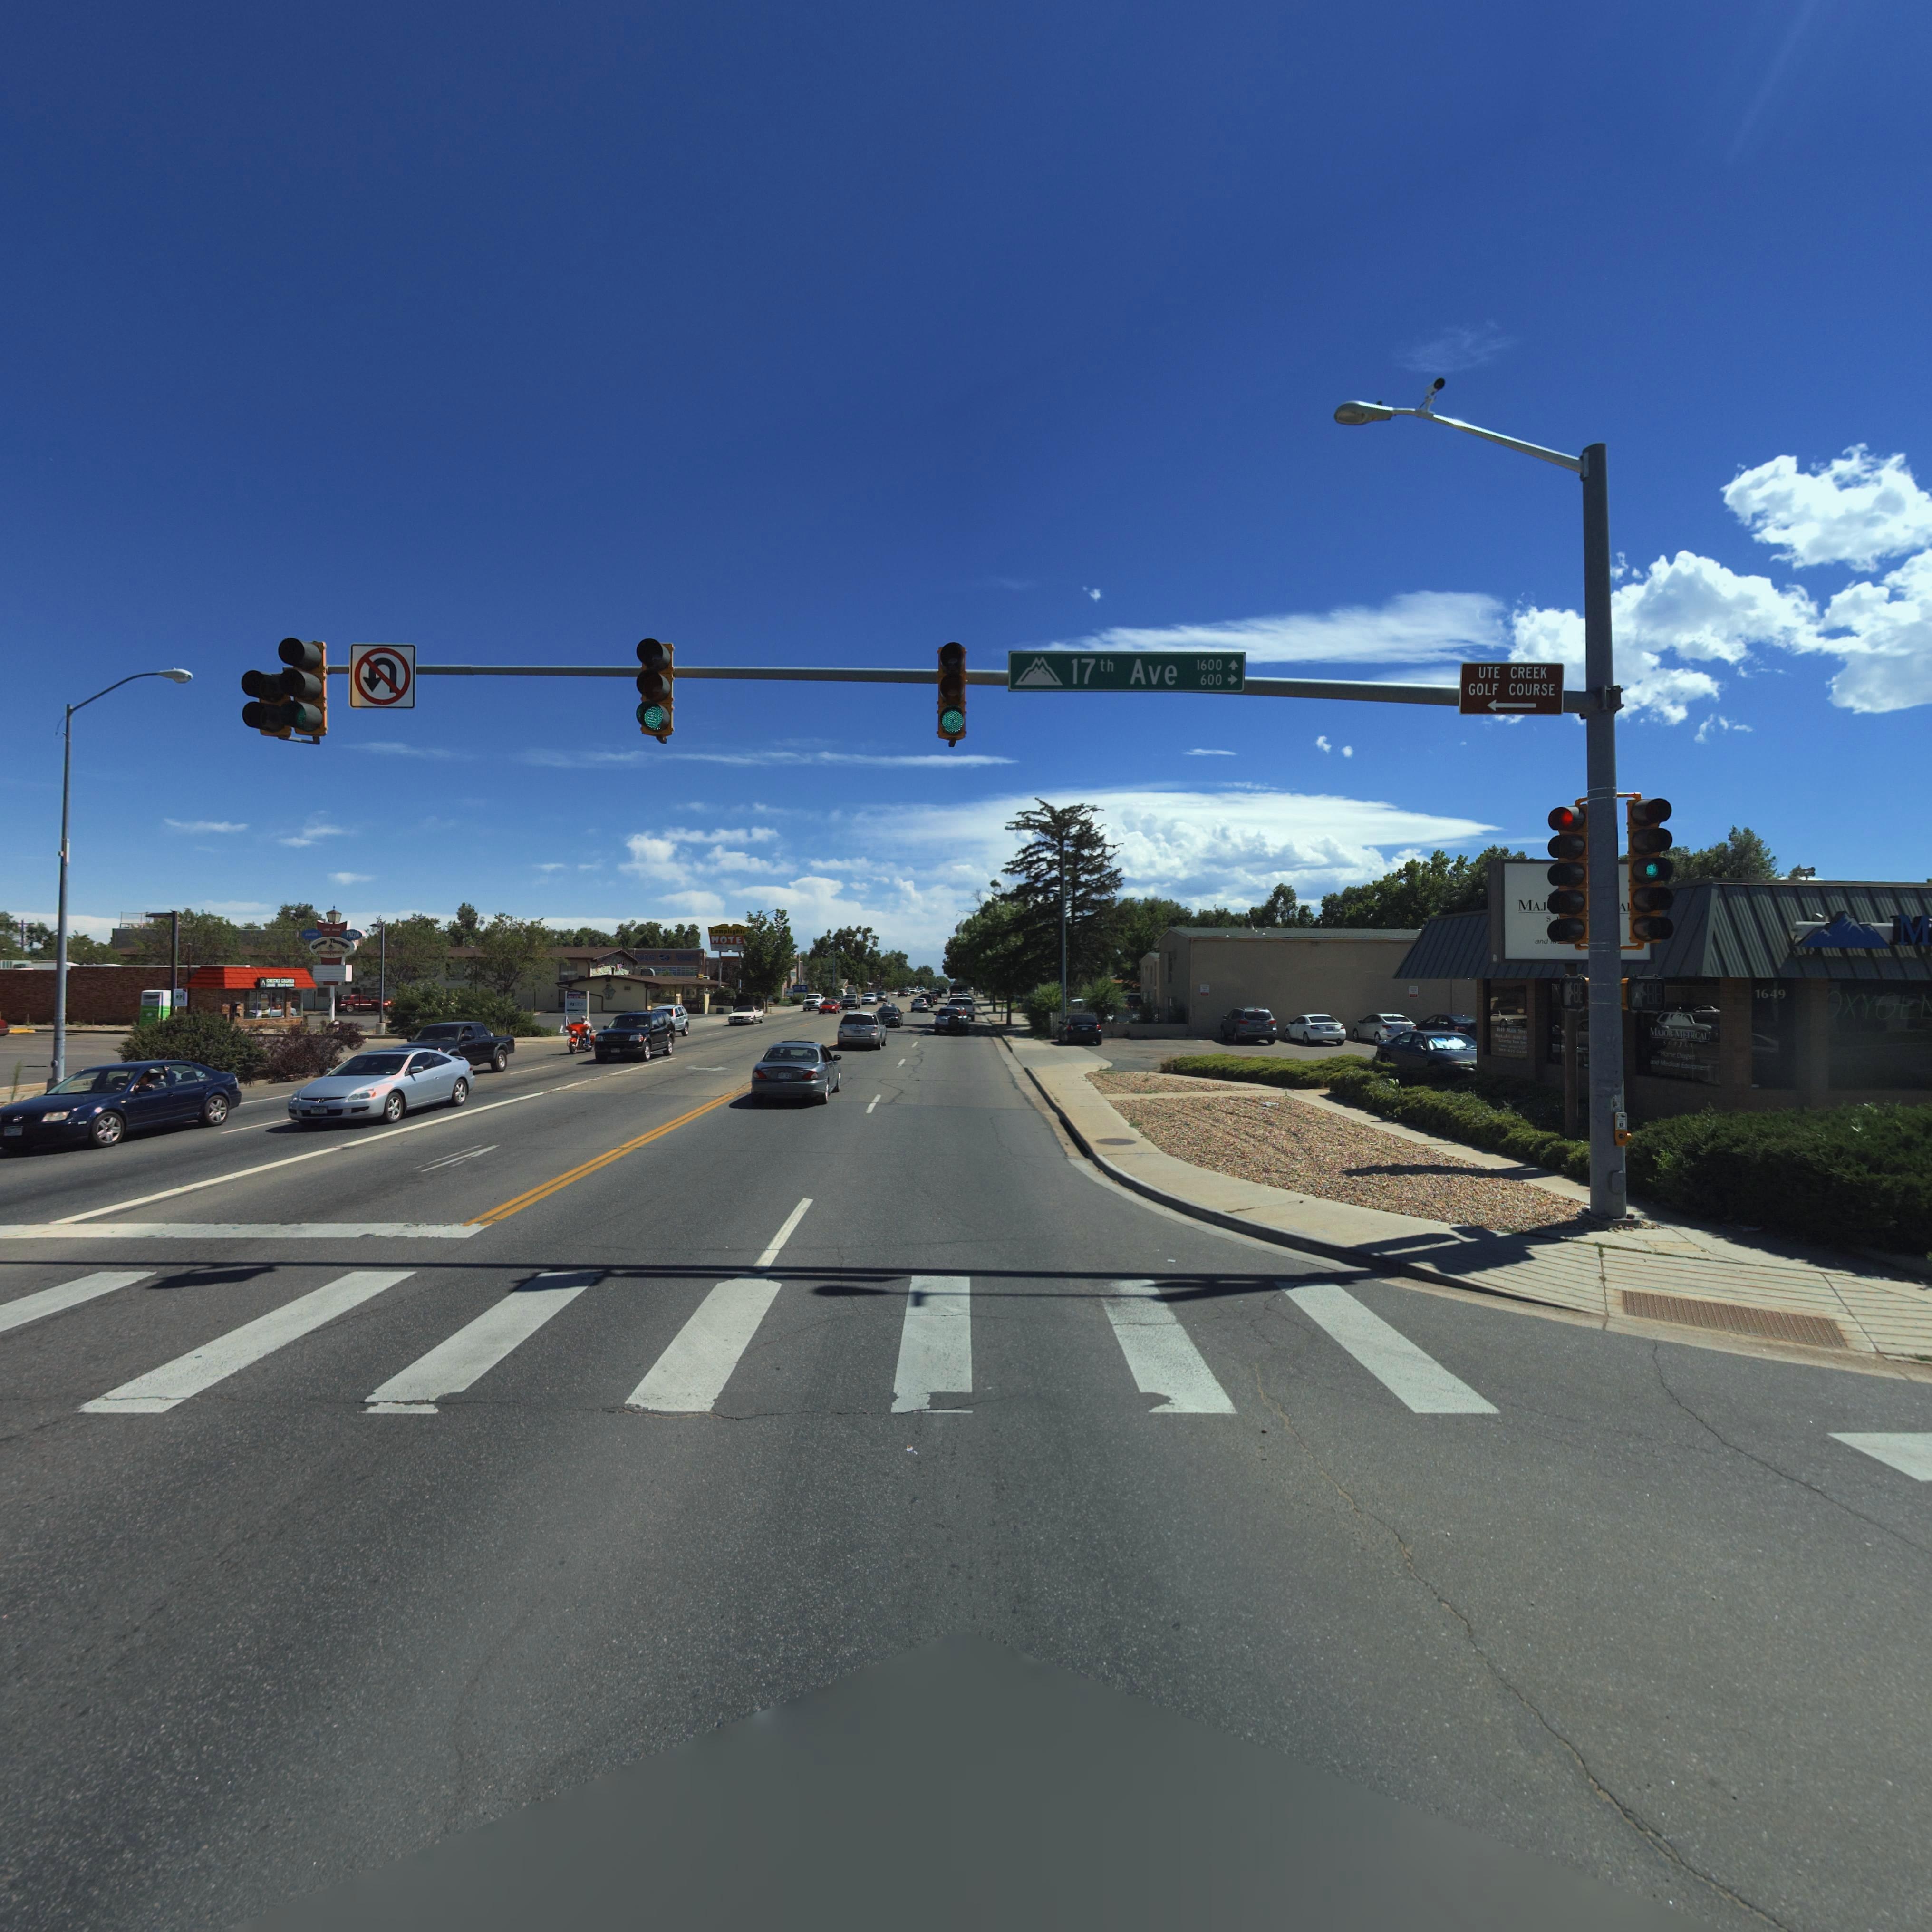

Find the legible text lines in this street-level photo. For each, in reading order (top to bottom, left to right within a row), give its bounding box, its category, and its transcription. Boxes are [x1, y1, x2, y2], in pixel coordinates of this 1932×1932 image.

[1196, 658, 1223, 671] StreetNumberRange: 1600
[1070, 657, 1178, 686] StreetName: 17th Ave
[1199, 673, 1239, 686] StreetNumberRange: 600 ->
[1517, 899, 1546, 911] BusinessName: MAJ
[1546, 916, 1551, 922] BusinessName: S
[710, 927, 750, 935] StreetName:  Lamplighter
[1895, 914, 1932, 947] BusinessName:  M
[710, 935, 753, 944] BusinessName: MOTE*
[266, 978, 294, 983] BusinessName: CHECKS CA****
[1755, 987, 1786, 999] StreetNumber: 1649
[1507, 1028, 1527, 1034] StreetName: Main Street
[1649, 1026, 1710, 1040] BusinessName: MAJOR MEDICAL
[1662, 1040, 1694, 1048] BusinessName: SUPPLY